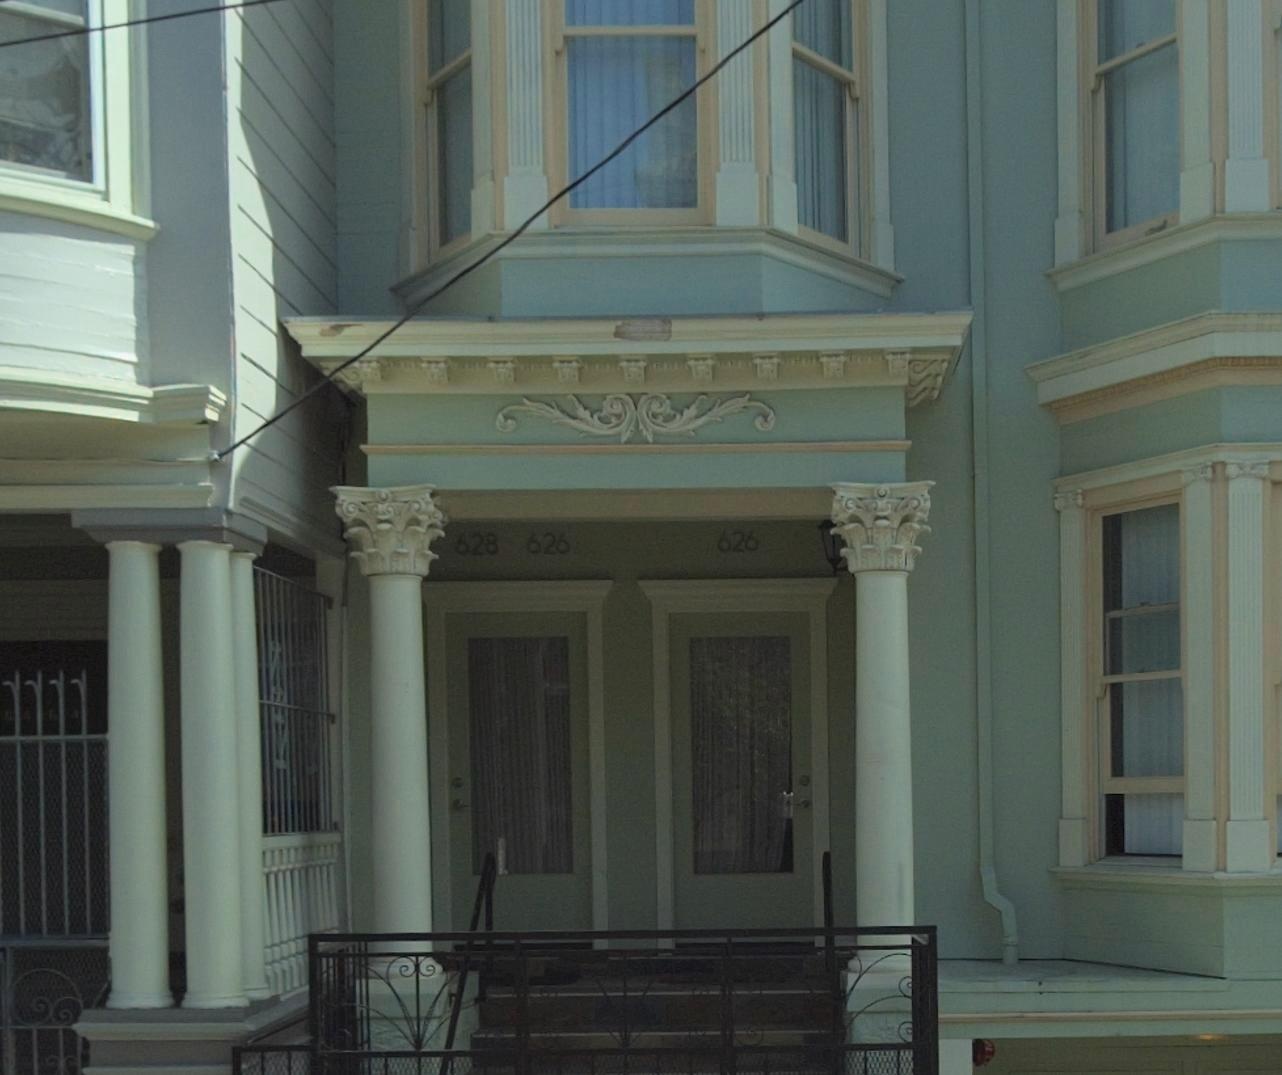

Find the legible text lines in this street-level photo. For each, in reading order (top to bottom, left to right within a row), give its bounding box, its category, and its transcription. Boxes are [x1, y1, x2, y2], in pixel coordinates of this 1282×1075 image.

[452, 528, 502, 560] None: 628
[524, 531, 573, 557] StreetNumber: 626
[715, 527, 764, 555] StreetNumber: 626